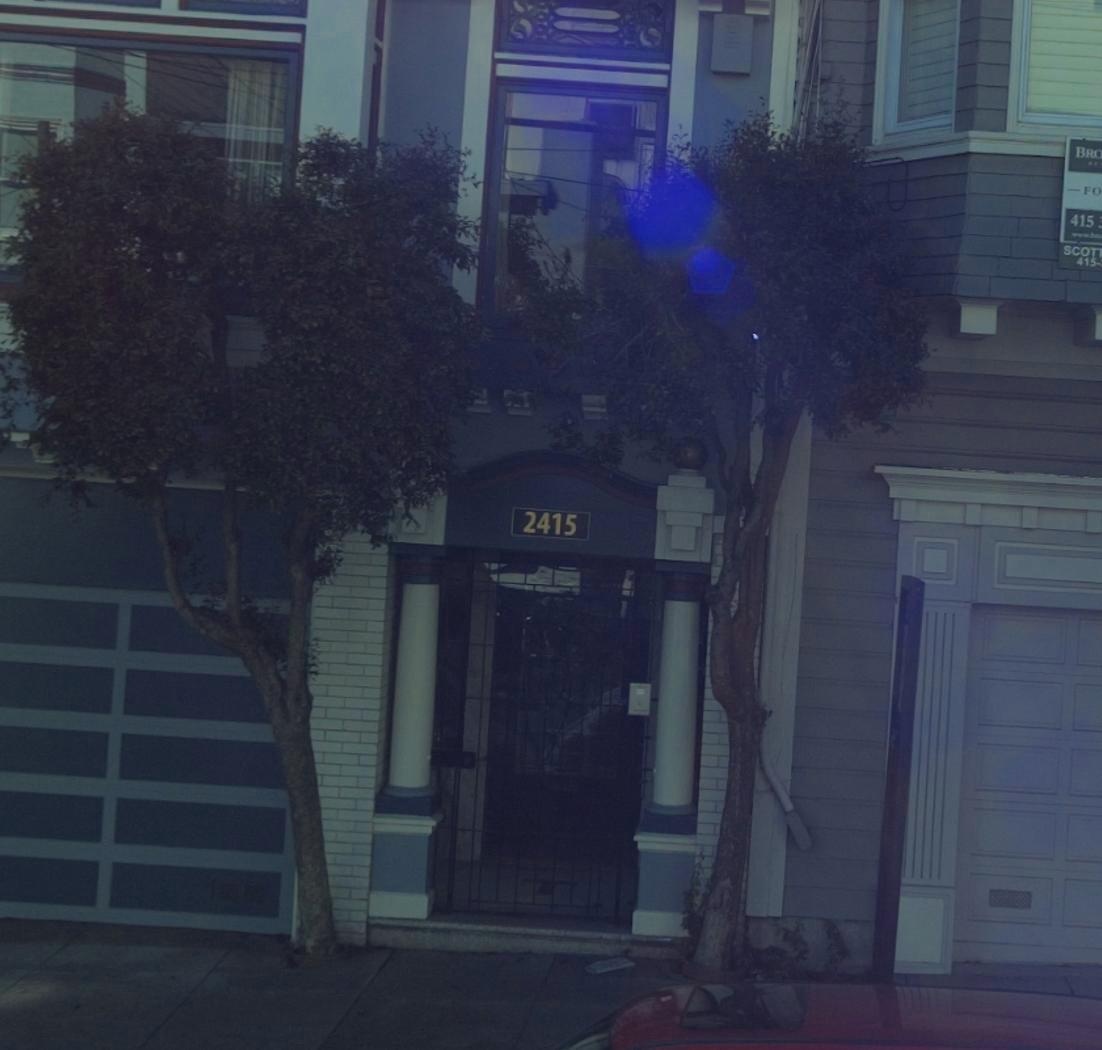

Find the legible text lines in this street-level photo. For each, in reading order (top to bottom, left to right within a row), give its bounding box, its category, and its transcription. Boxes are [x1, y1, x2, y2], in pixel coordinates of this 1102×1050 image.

[1075, 145, 1102, 161] None: BRO
[1083, 185, 1101, 198] None: FO
[1068, 212, 1095, 229] None: 415
[1062, 243, 1098, 257] None: SCOT
[519, 509, 580, 539] StreetNumber: 2415